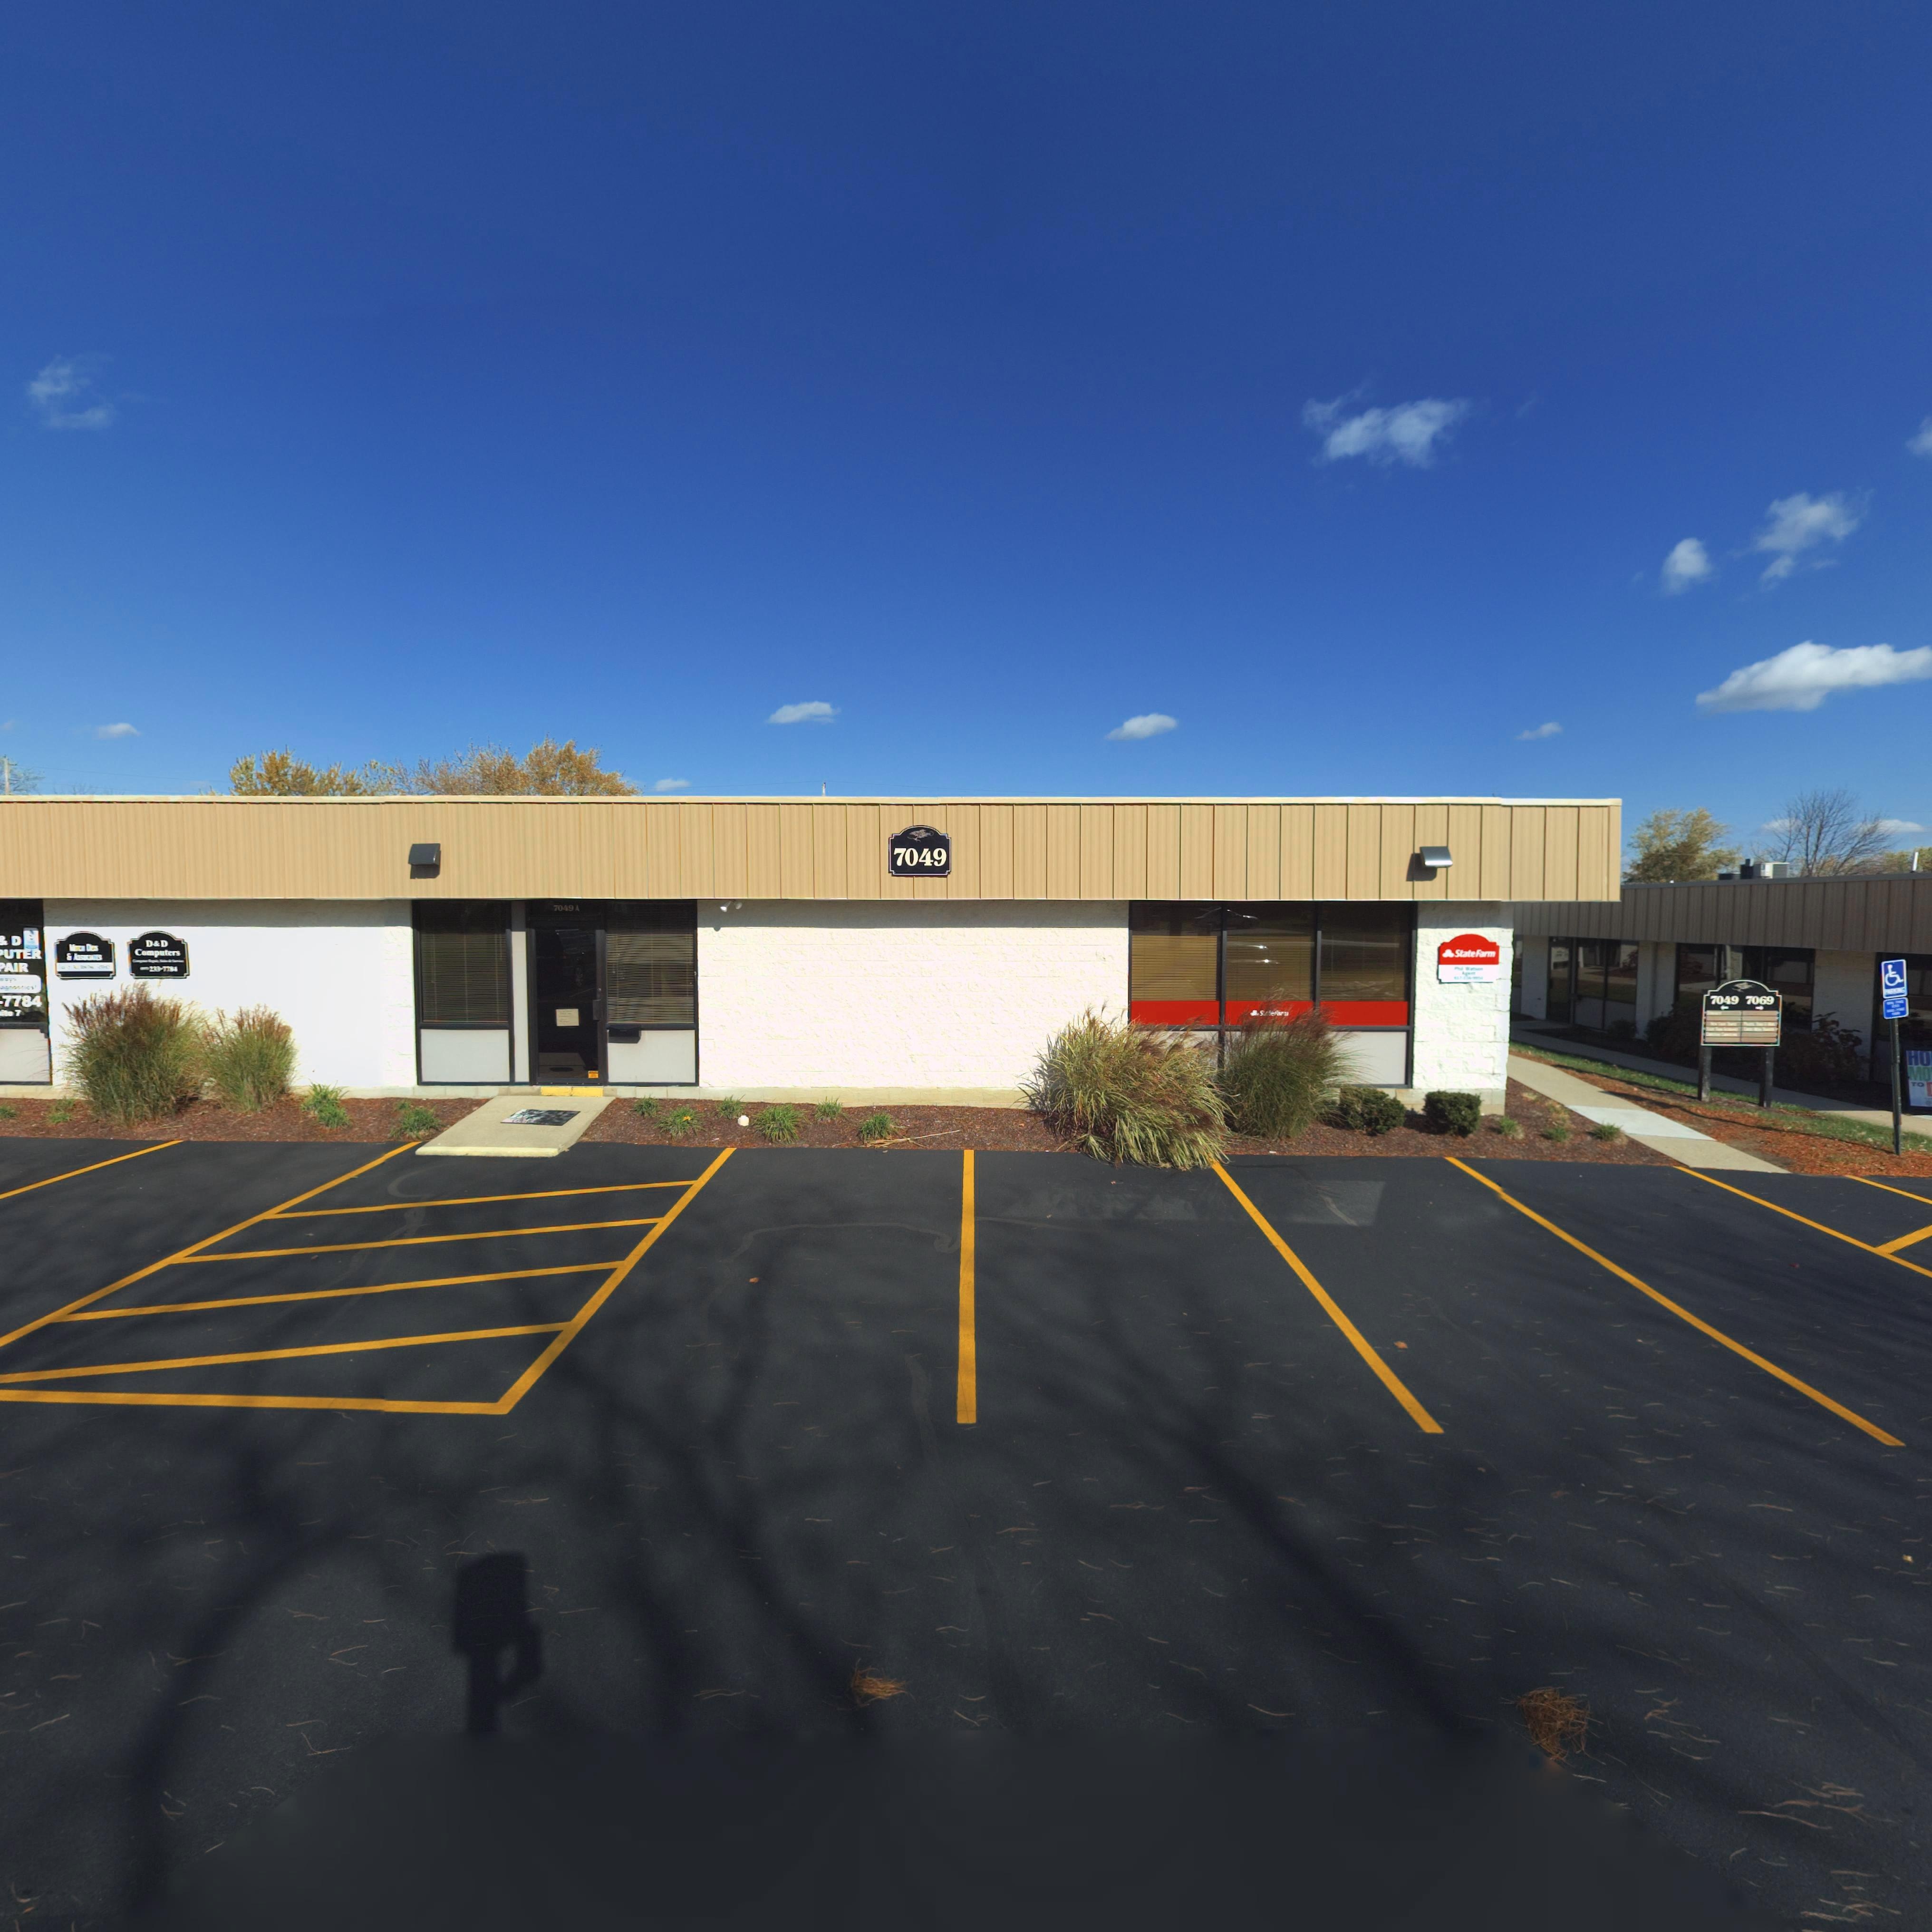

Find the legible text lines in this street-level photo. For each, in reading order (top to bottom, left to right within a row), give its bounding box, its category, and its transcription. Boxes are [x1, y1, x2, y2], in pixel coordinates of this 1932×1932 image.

[892, 846, 949, 868] StreetNumber: 7049
[552, 904, 581, 913] StreetNumber: 7049 A
[1709, 995, 1740, 1006] StreetNumber: 7049
[1744, 995, 1776, 1007] StreetNumber: 7069